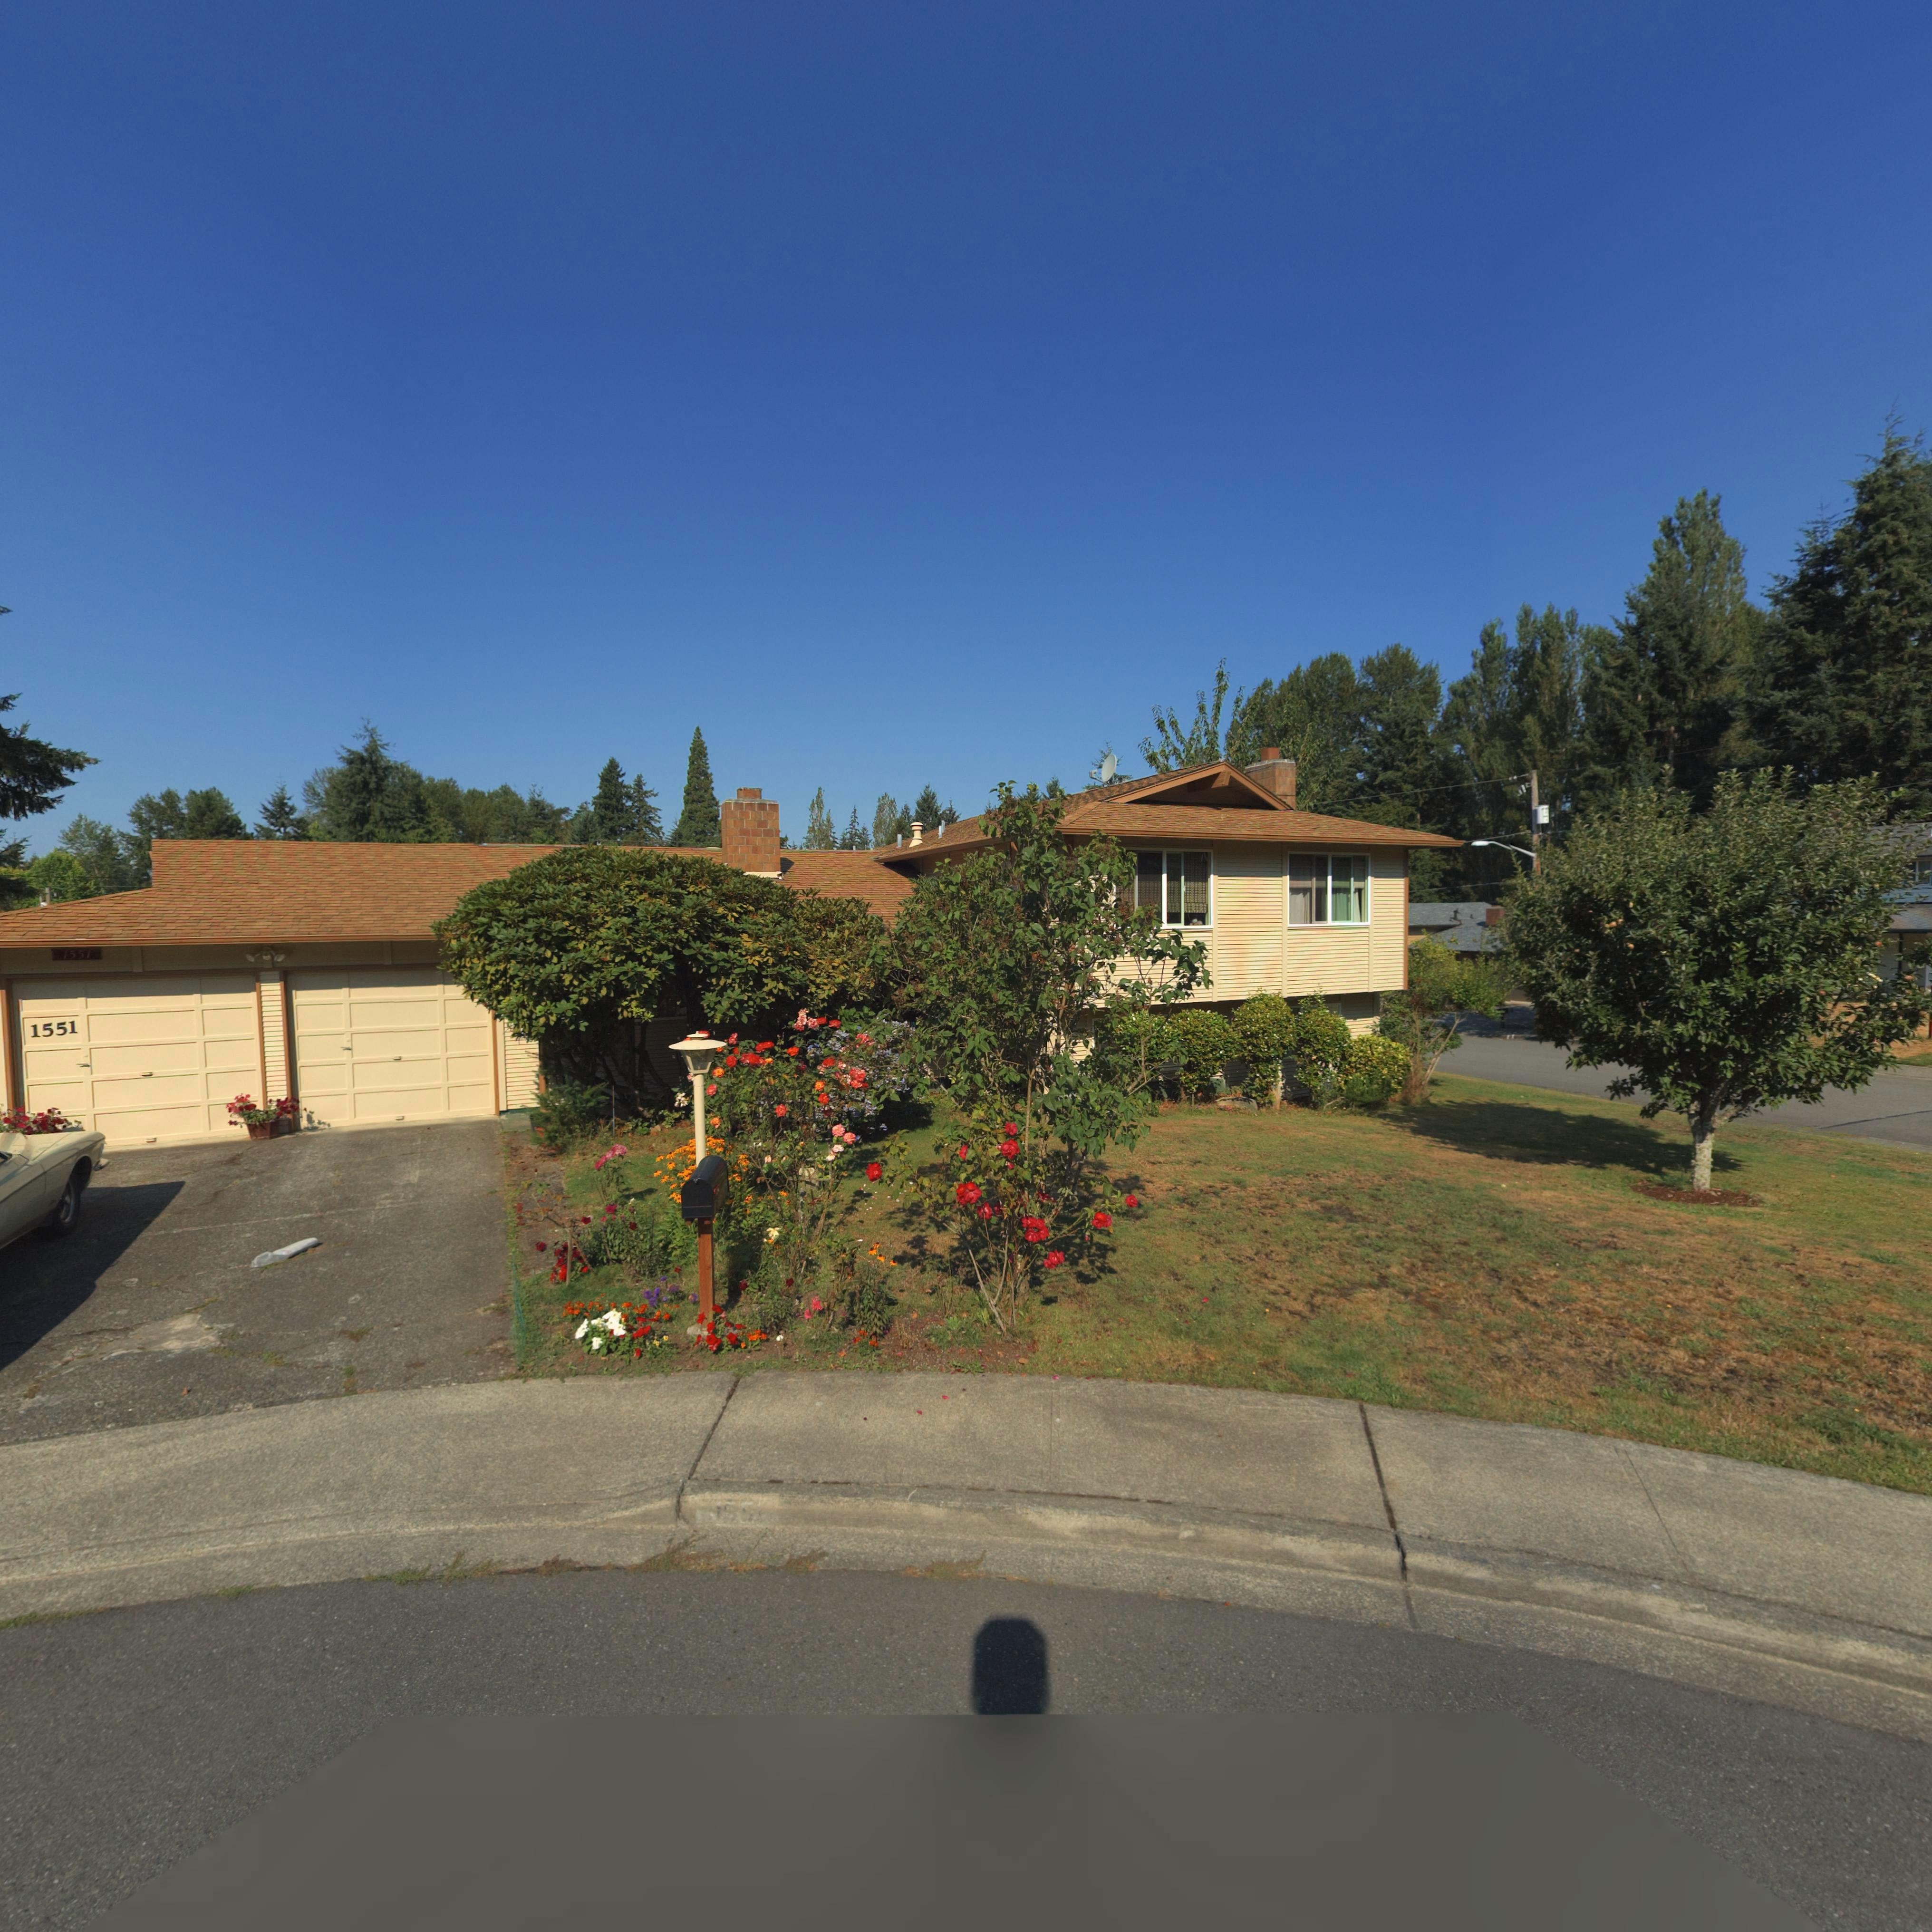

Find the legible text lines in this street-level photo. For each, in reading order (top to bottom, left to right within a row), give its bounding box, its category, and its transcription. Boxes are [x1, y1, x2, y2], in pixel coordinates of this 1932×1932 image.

[29, 1019, 80, 1039] StreetNumber: 1551